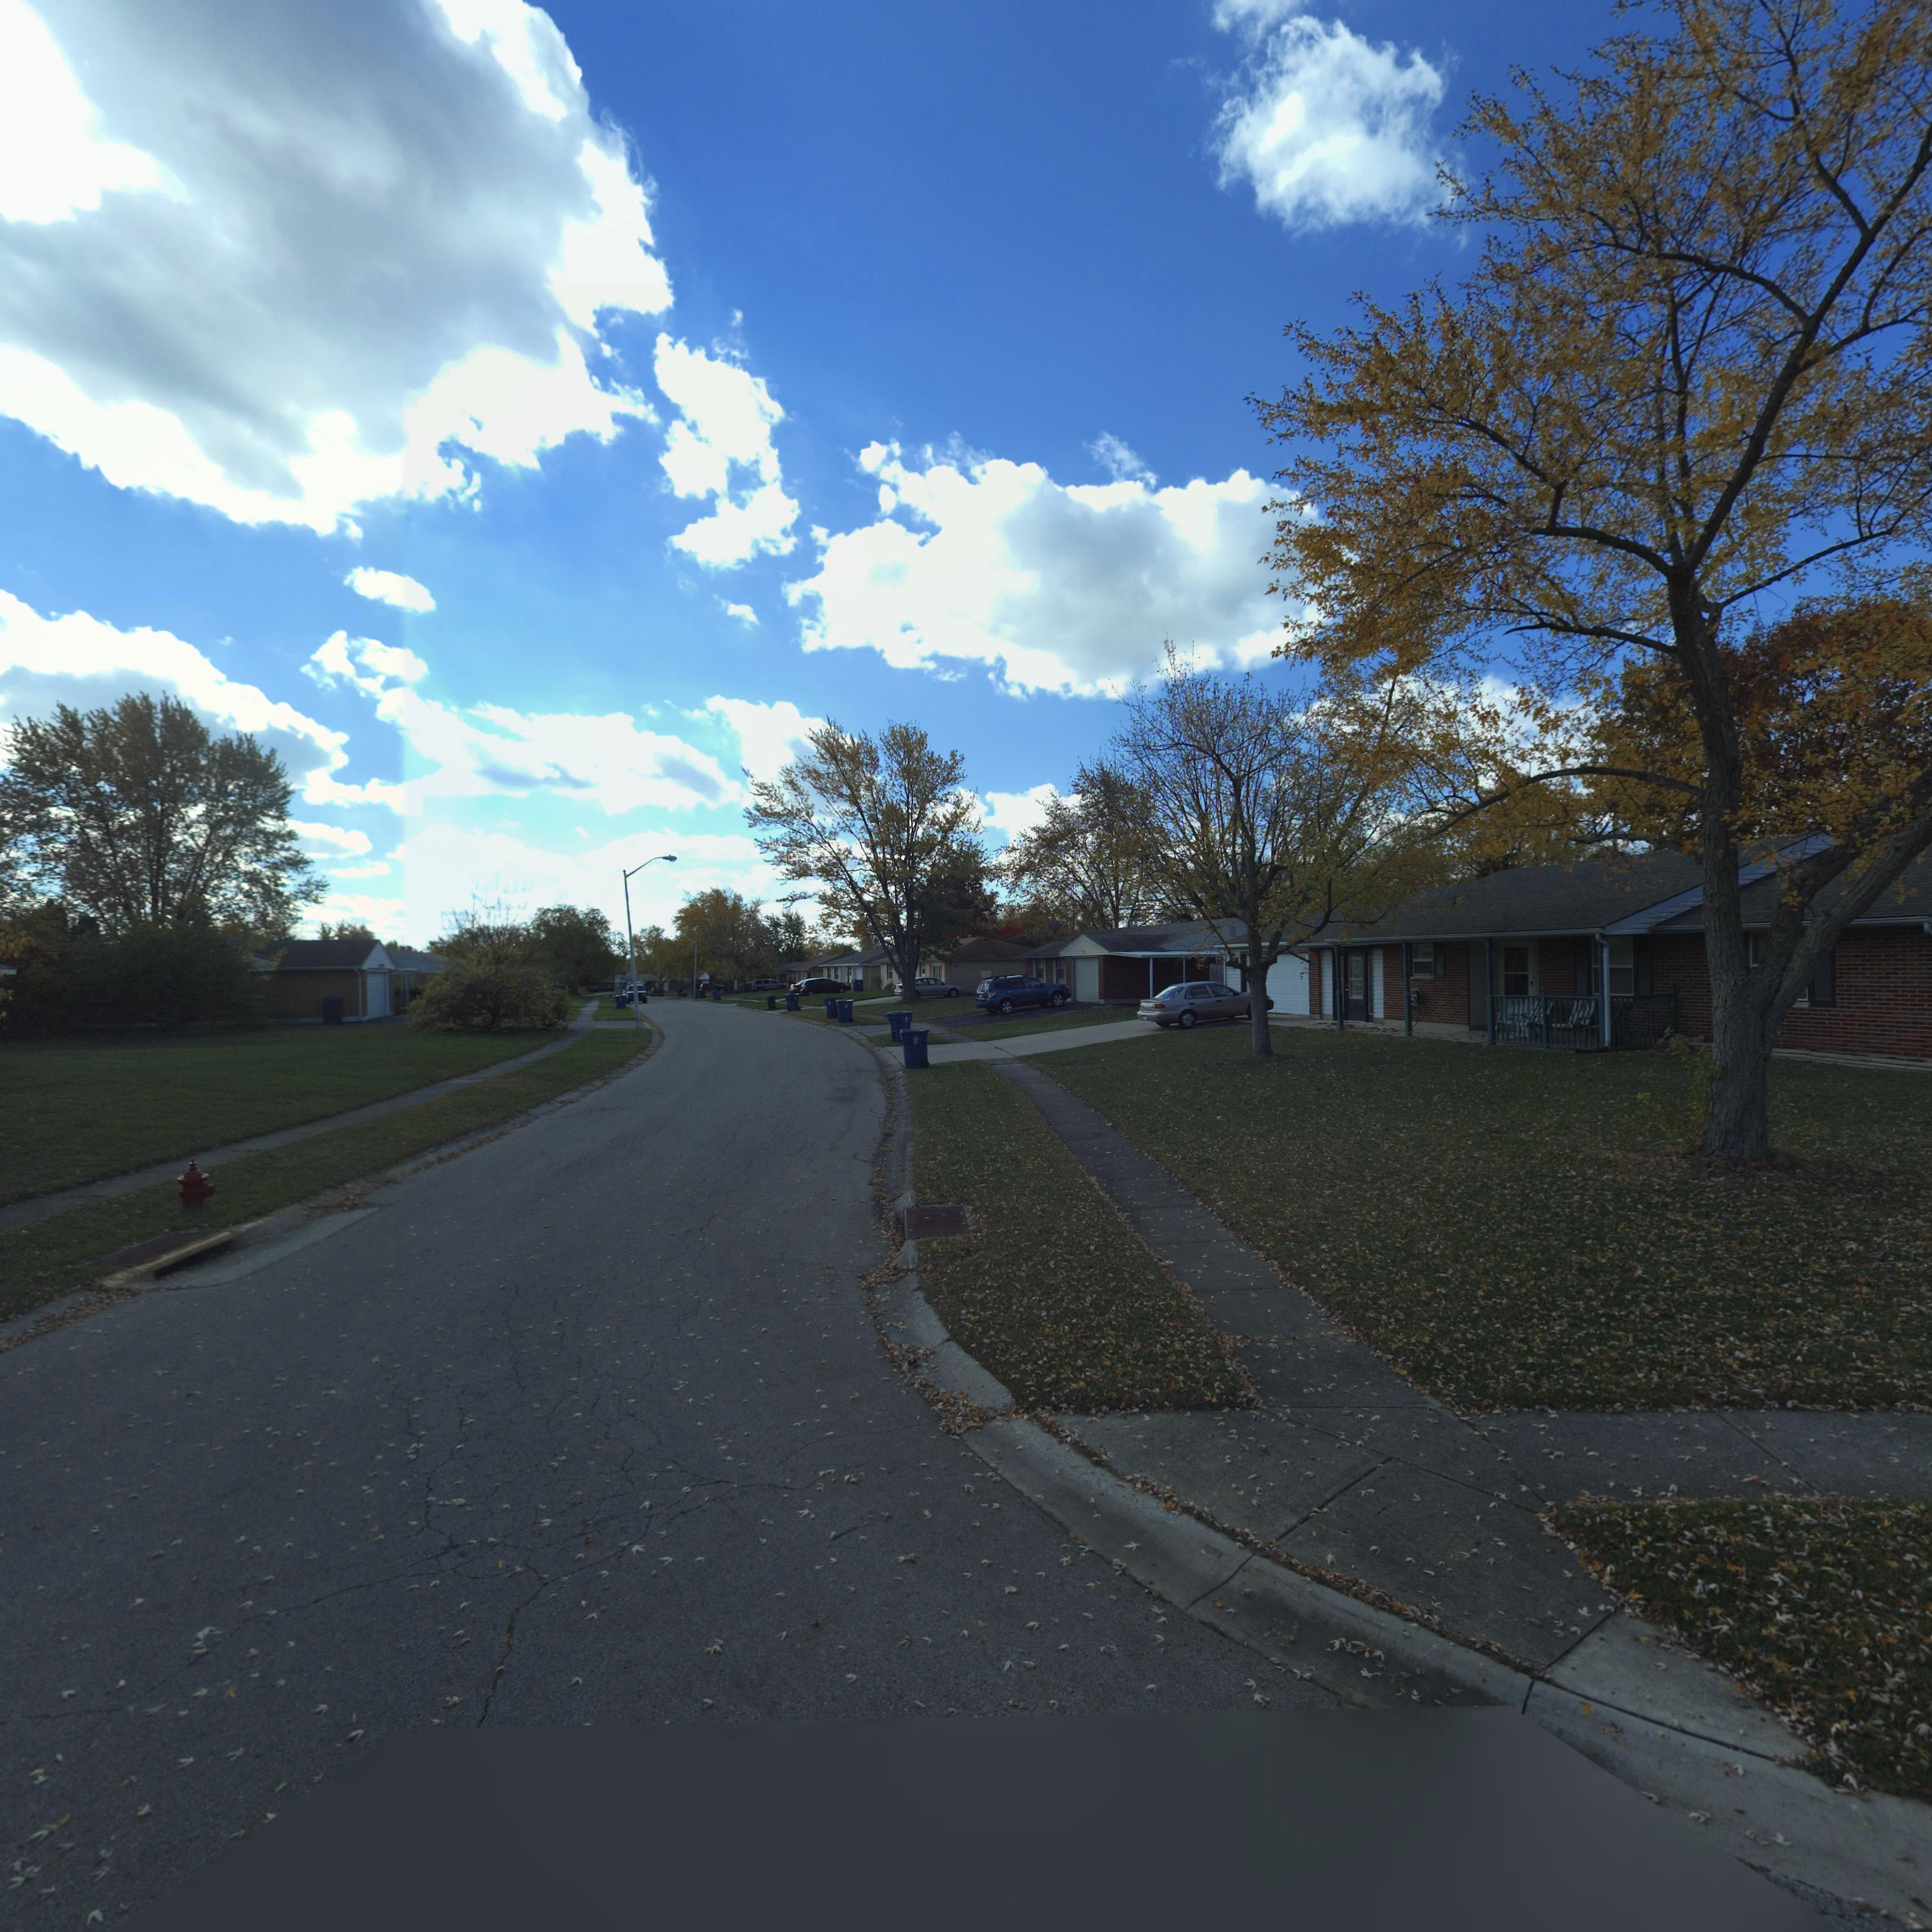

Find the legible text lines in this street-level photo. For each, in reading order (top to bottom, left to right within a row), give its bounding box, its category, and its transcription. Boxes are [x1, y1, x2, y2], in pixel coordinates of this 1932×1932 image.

[1227, 966, 1231, 970] StreetNumber: 7